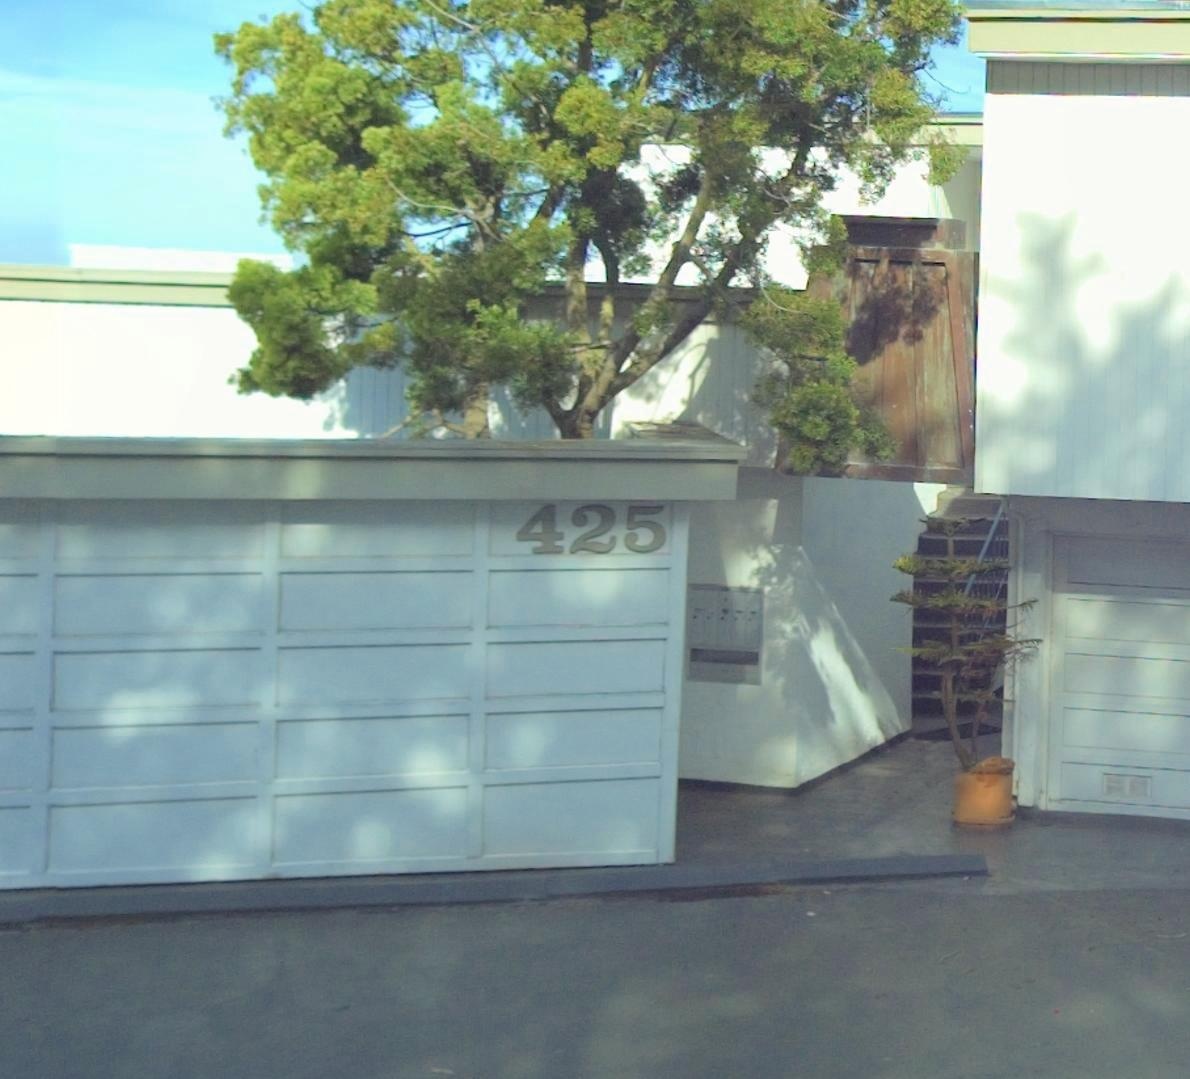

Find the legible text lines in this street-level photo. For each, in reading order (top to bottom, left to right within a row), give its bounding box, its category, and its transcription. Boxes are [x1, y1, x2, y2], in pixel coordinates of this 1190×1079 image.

[514, 501, 670, 555] StreetNumber: 425